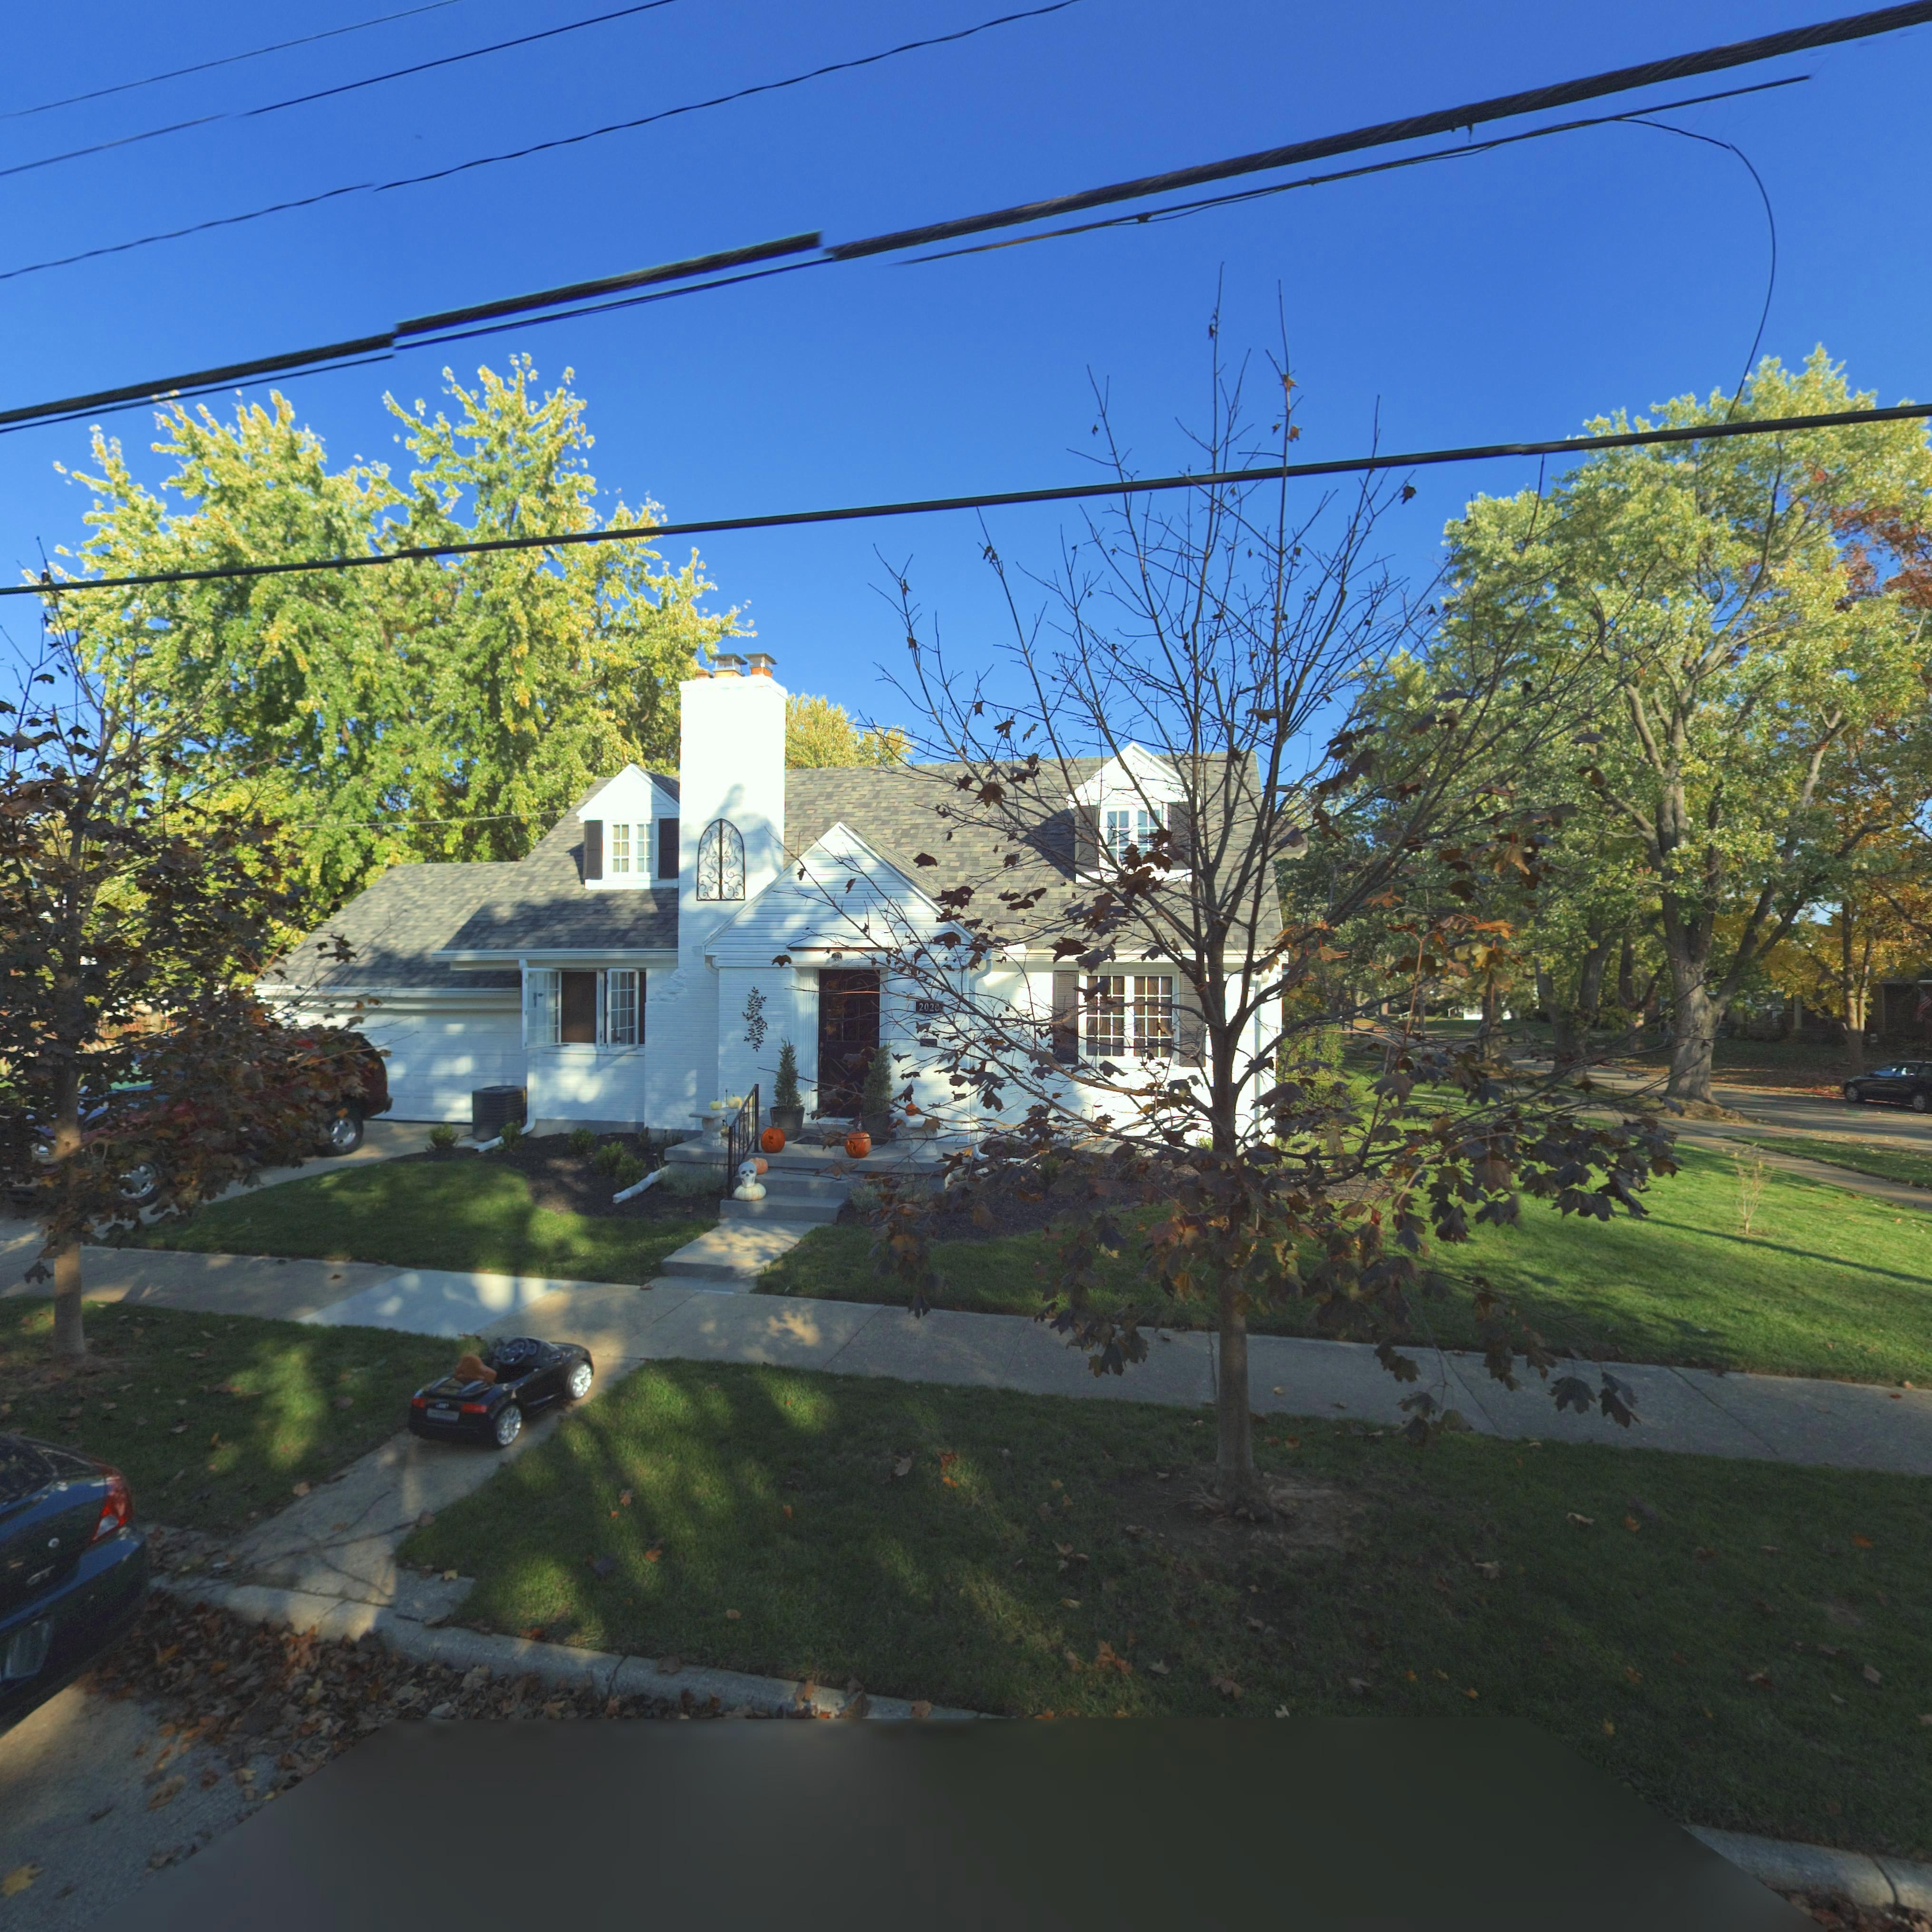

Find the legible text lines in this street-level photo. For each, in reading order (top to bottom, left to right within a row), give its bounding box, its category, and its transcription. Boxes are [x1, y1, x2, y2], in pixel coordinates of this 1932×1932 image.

[918, 1002, 929, 1012] StreetNumber: 20